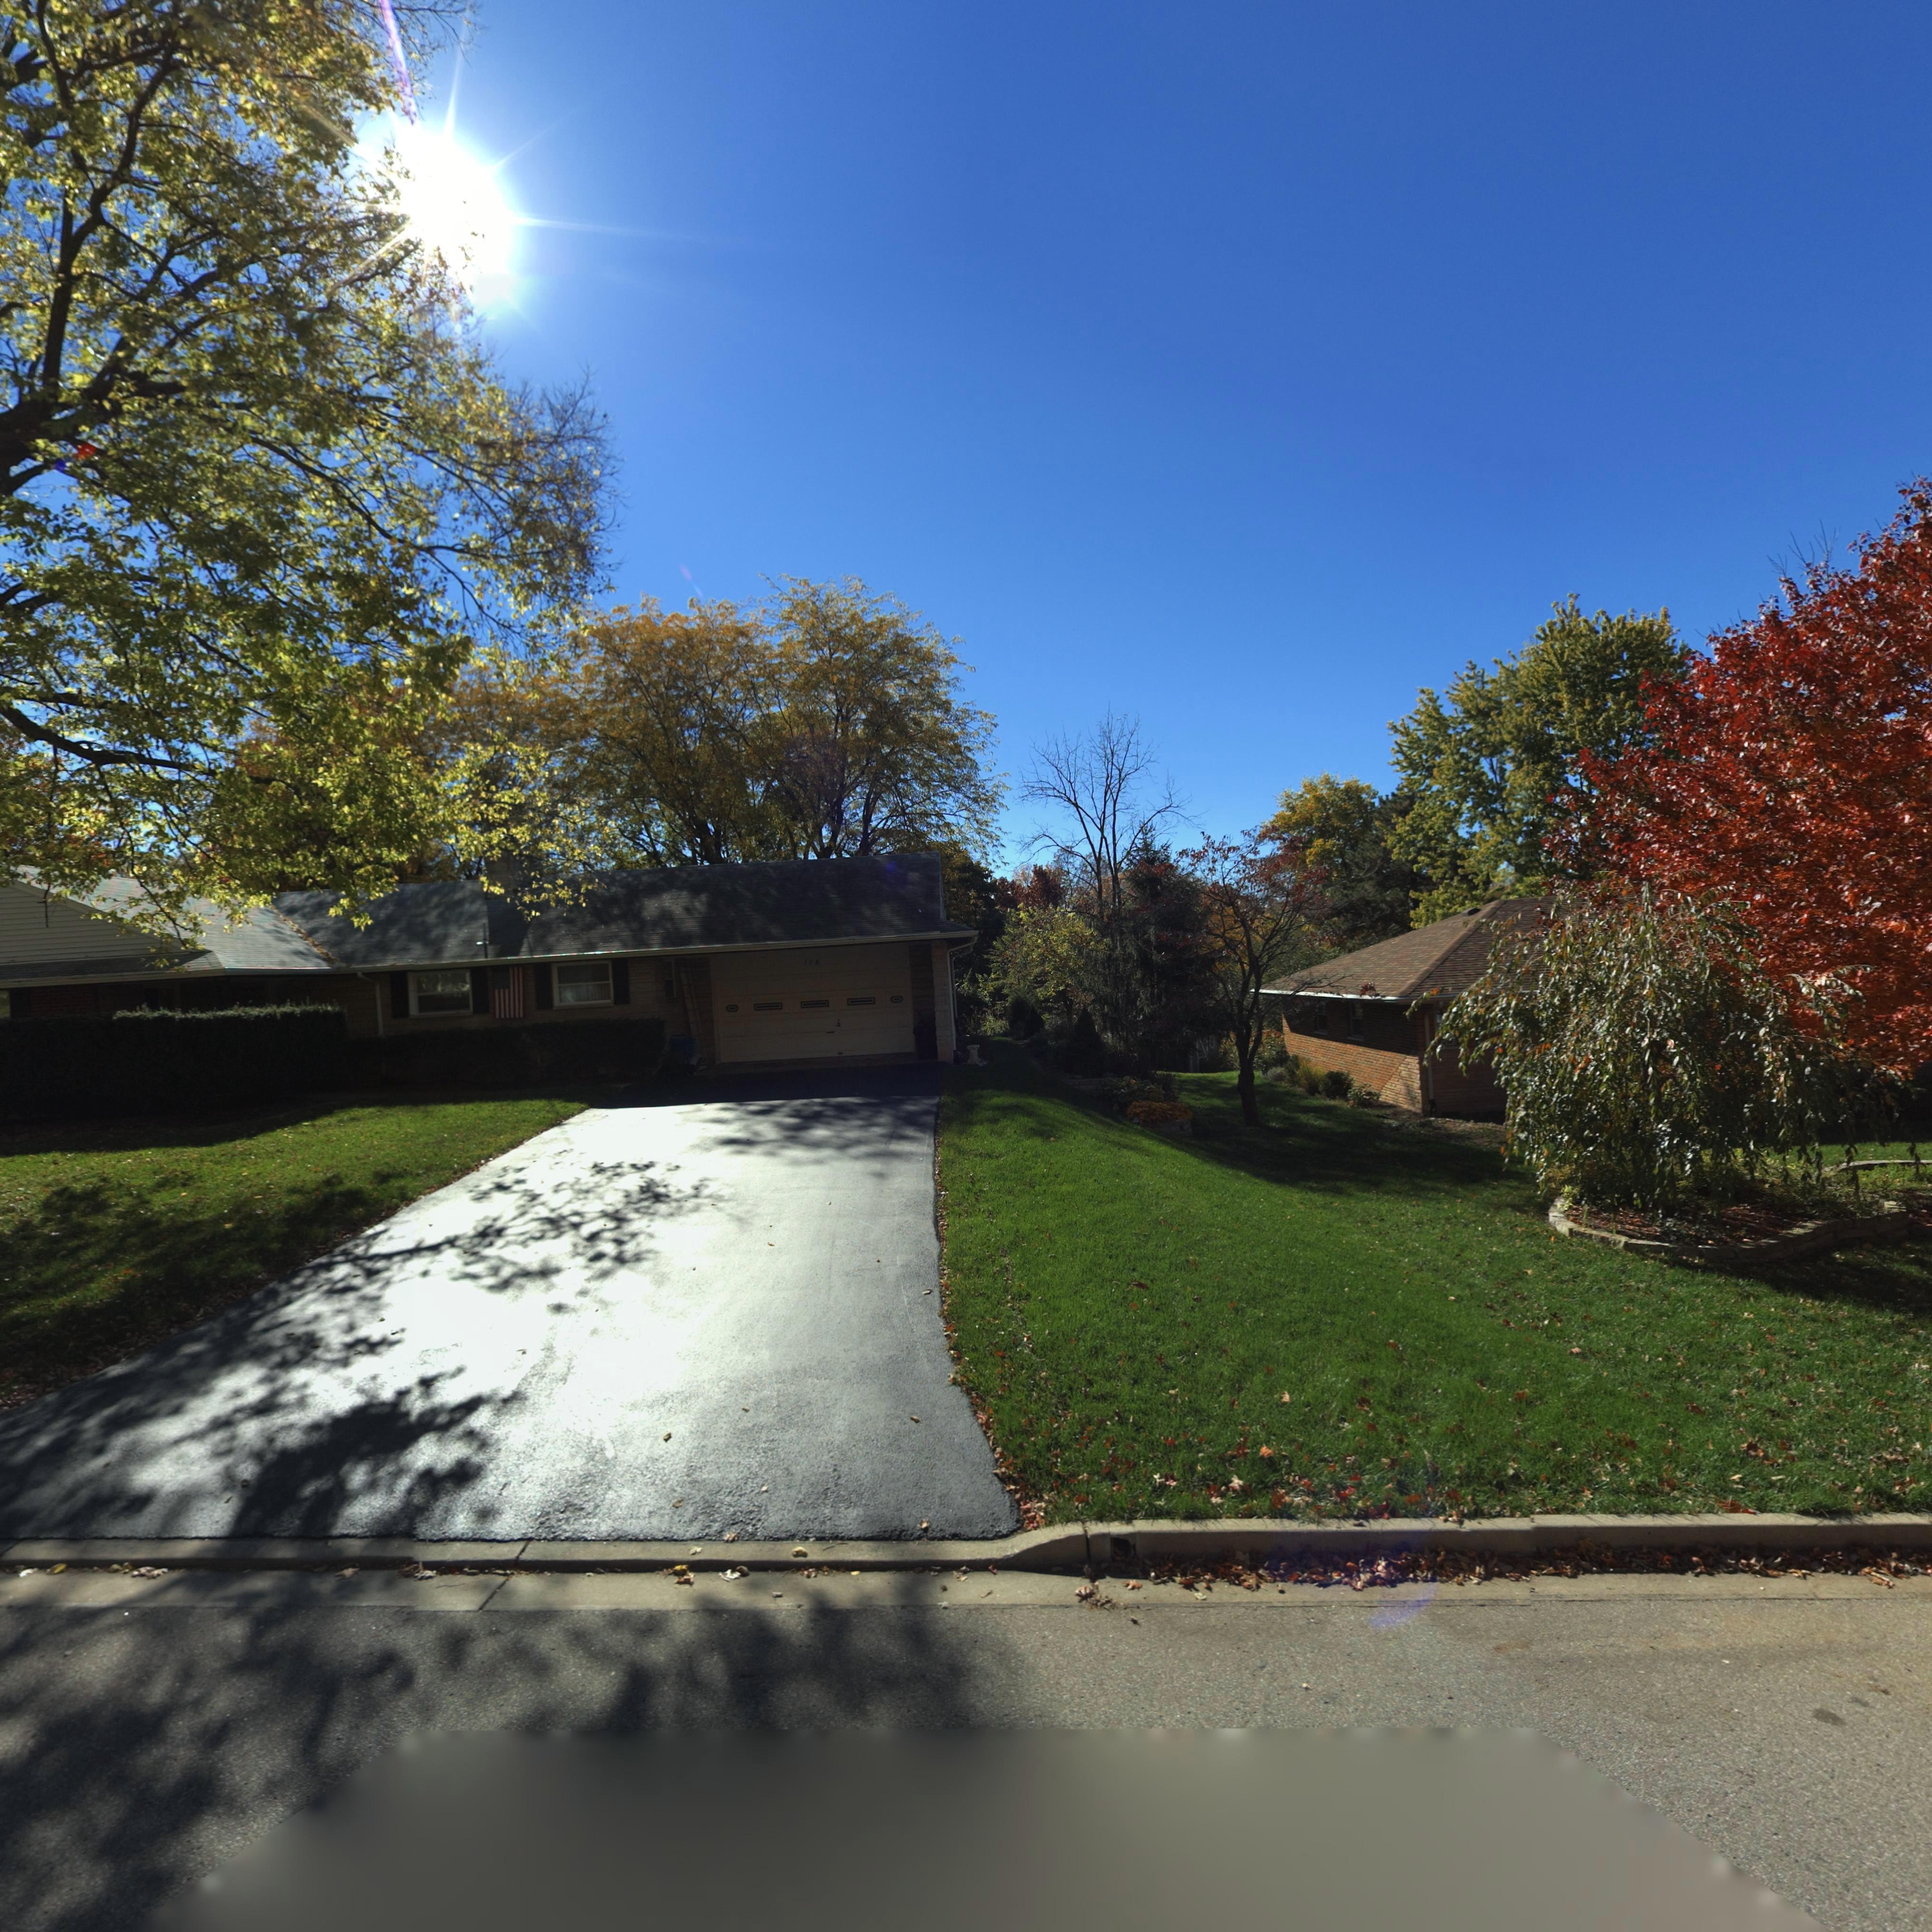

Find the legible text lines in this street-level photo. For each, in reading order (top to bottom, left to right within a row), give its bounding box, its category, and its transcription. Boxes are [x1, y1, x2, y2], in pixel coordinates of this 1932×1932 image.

[803, 957, 821, 966] StreetNumber: 114